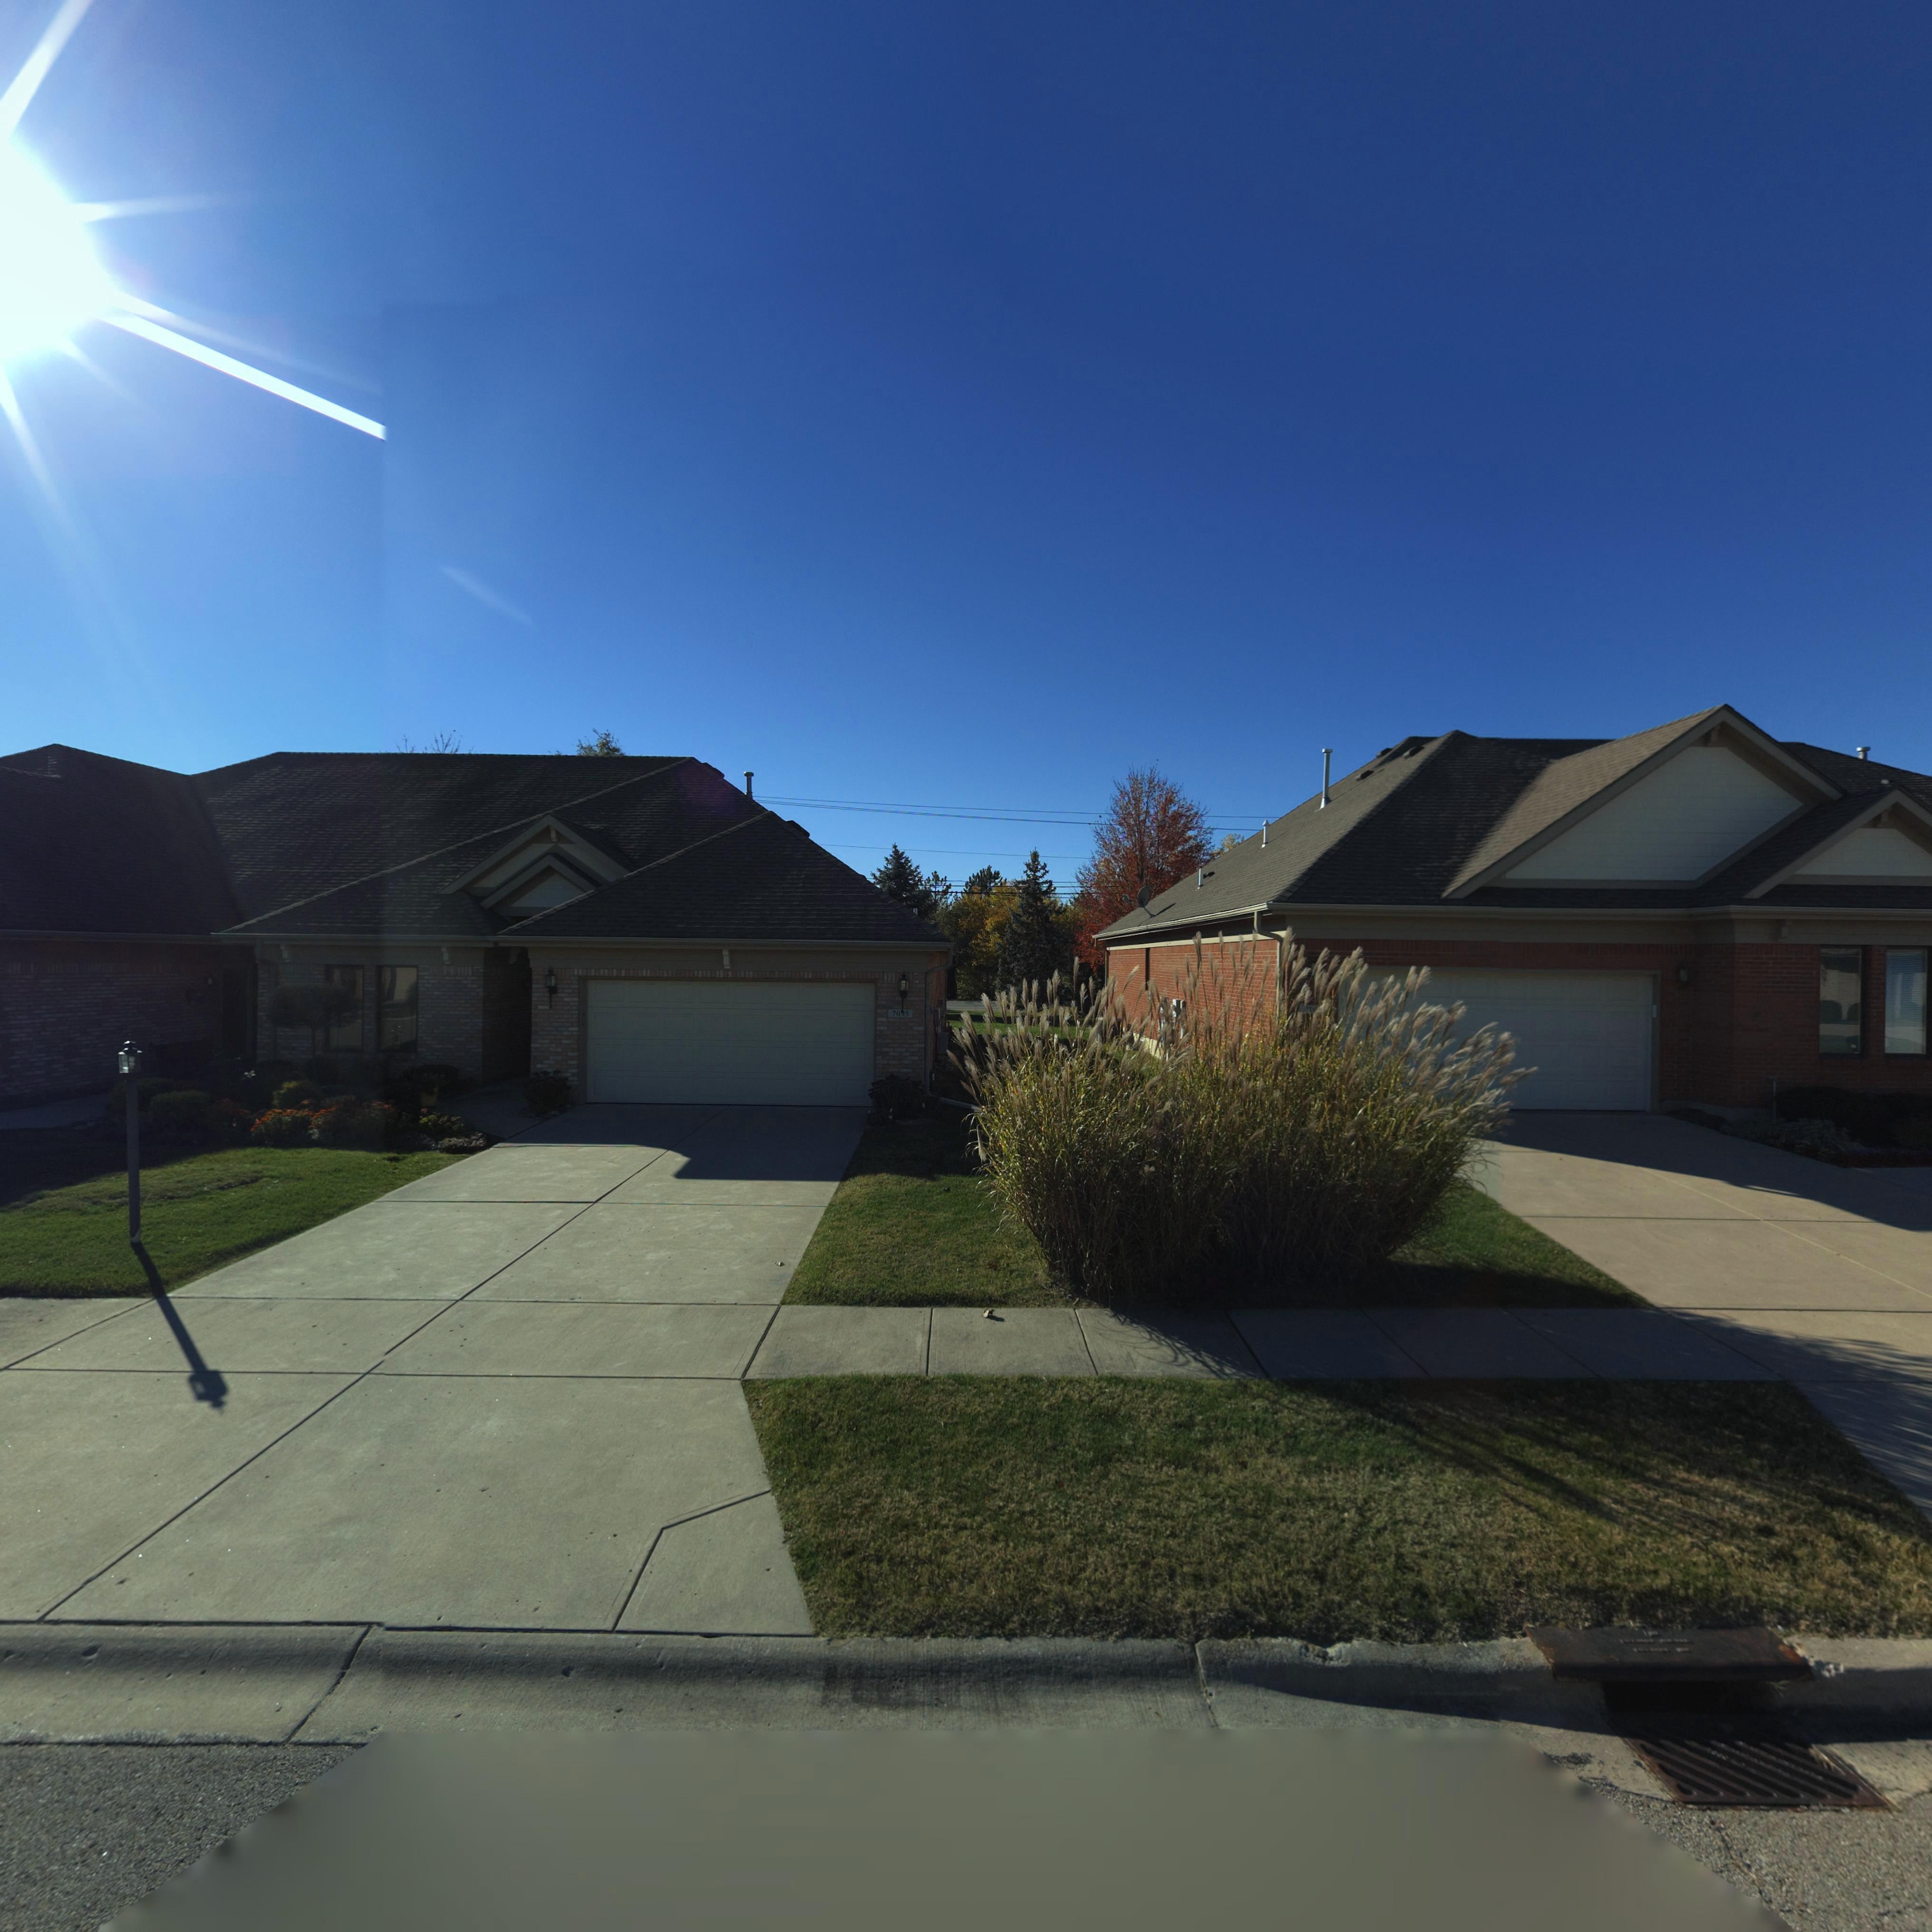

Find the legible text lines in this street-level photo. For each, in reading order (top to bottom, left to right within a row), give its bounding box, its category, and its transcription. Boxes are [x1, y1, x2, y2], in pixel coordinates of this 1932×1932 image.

[892, 1010, 909, 1017] StreetNumber: 7095